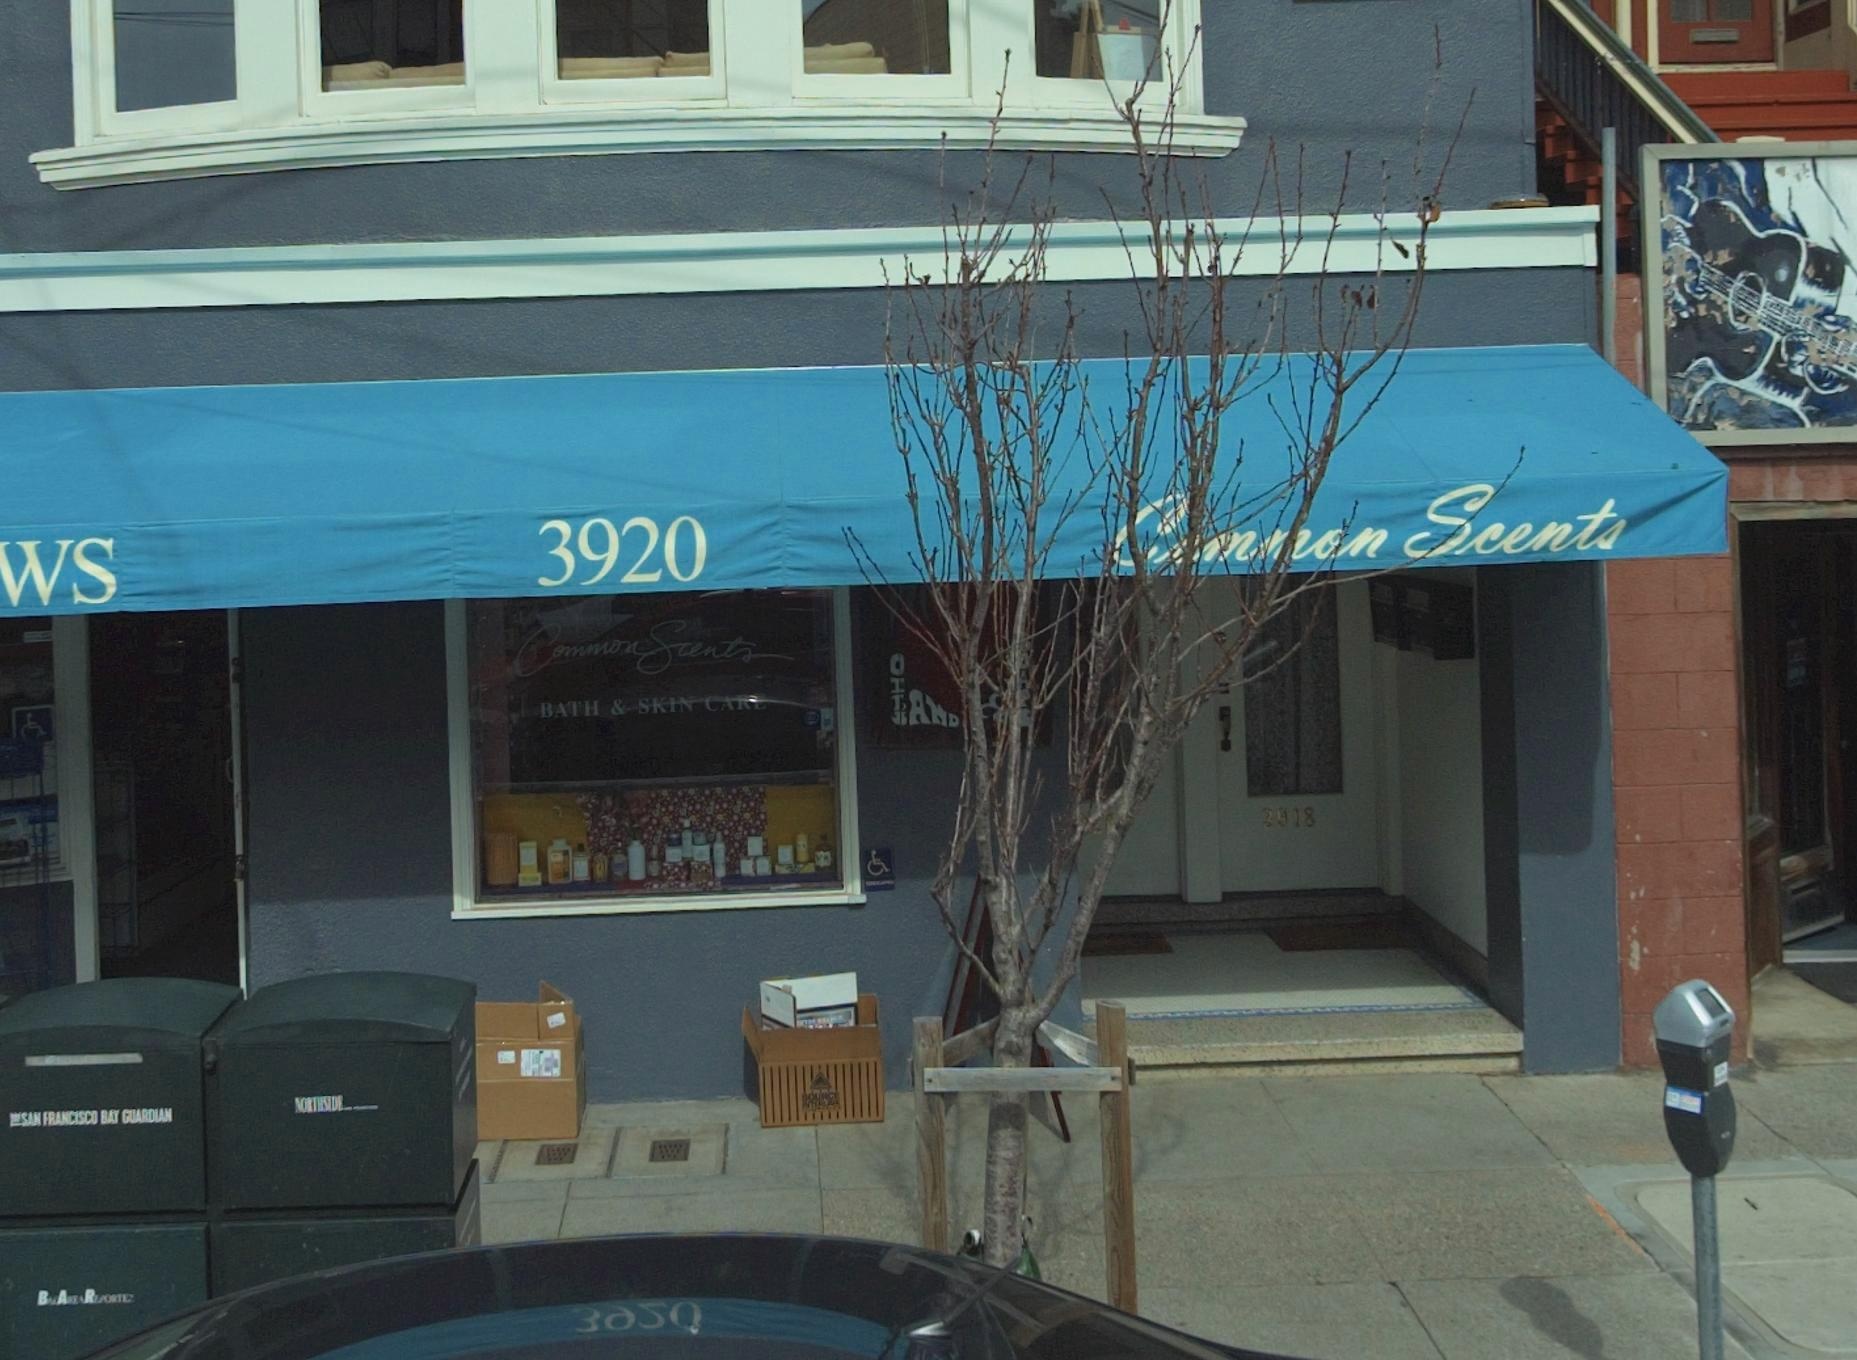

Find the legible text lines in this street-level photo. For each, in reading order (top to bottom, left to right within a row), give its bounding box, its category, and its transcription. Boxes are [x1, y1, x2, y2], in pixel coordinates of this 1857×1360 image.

[1108, 479, 1636, 569] BusinessName: *****n Scents
[0, 532, 124, 609] BusinessName: WS
[535, 512, 710, 589] StreetNumber: 3920
[511, 617, 768, 681] BusinessName: Common Scents
[539, 692, 768, 720] BusinessName: BATH & SKIN CARE
[888, 650, 908, 729] None: OIL*
[907, 687, 962, 731] None: AND
[1260, 804, 1316, 831] StreetNumber: 3918
[19, 1106, 174, 1129] None: SAN FRANCISCO BAY GUARDIAN
[292, 1093, 346, 1116] None: NORTHSIDE
[35, 1287, 138, 1308] None: BAY AREA RE*ORTE*